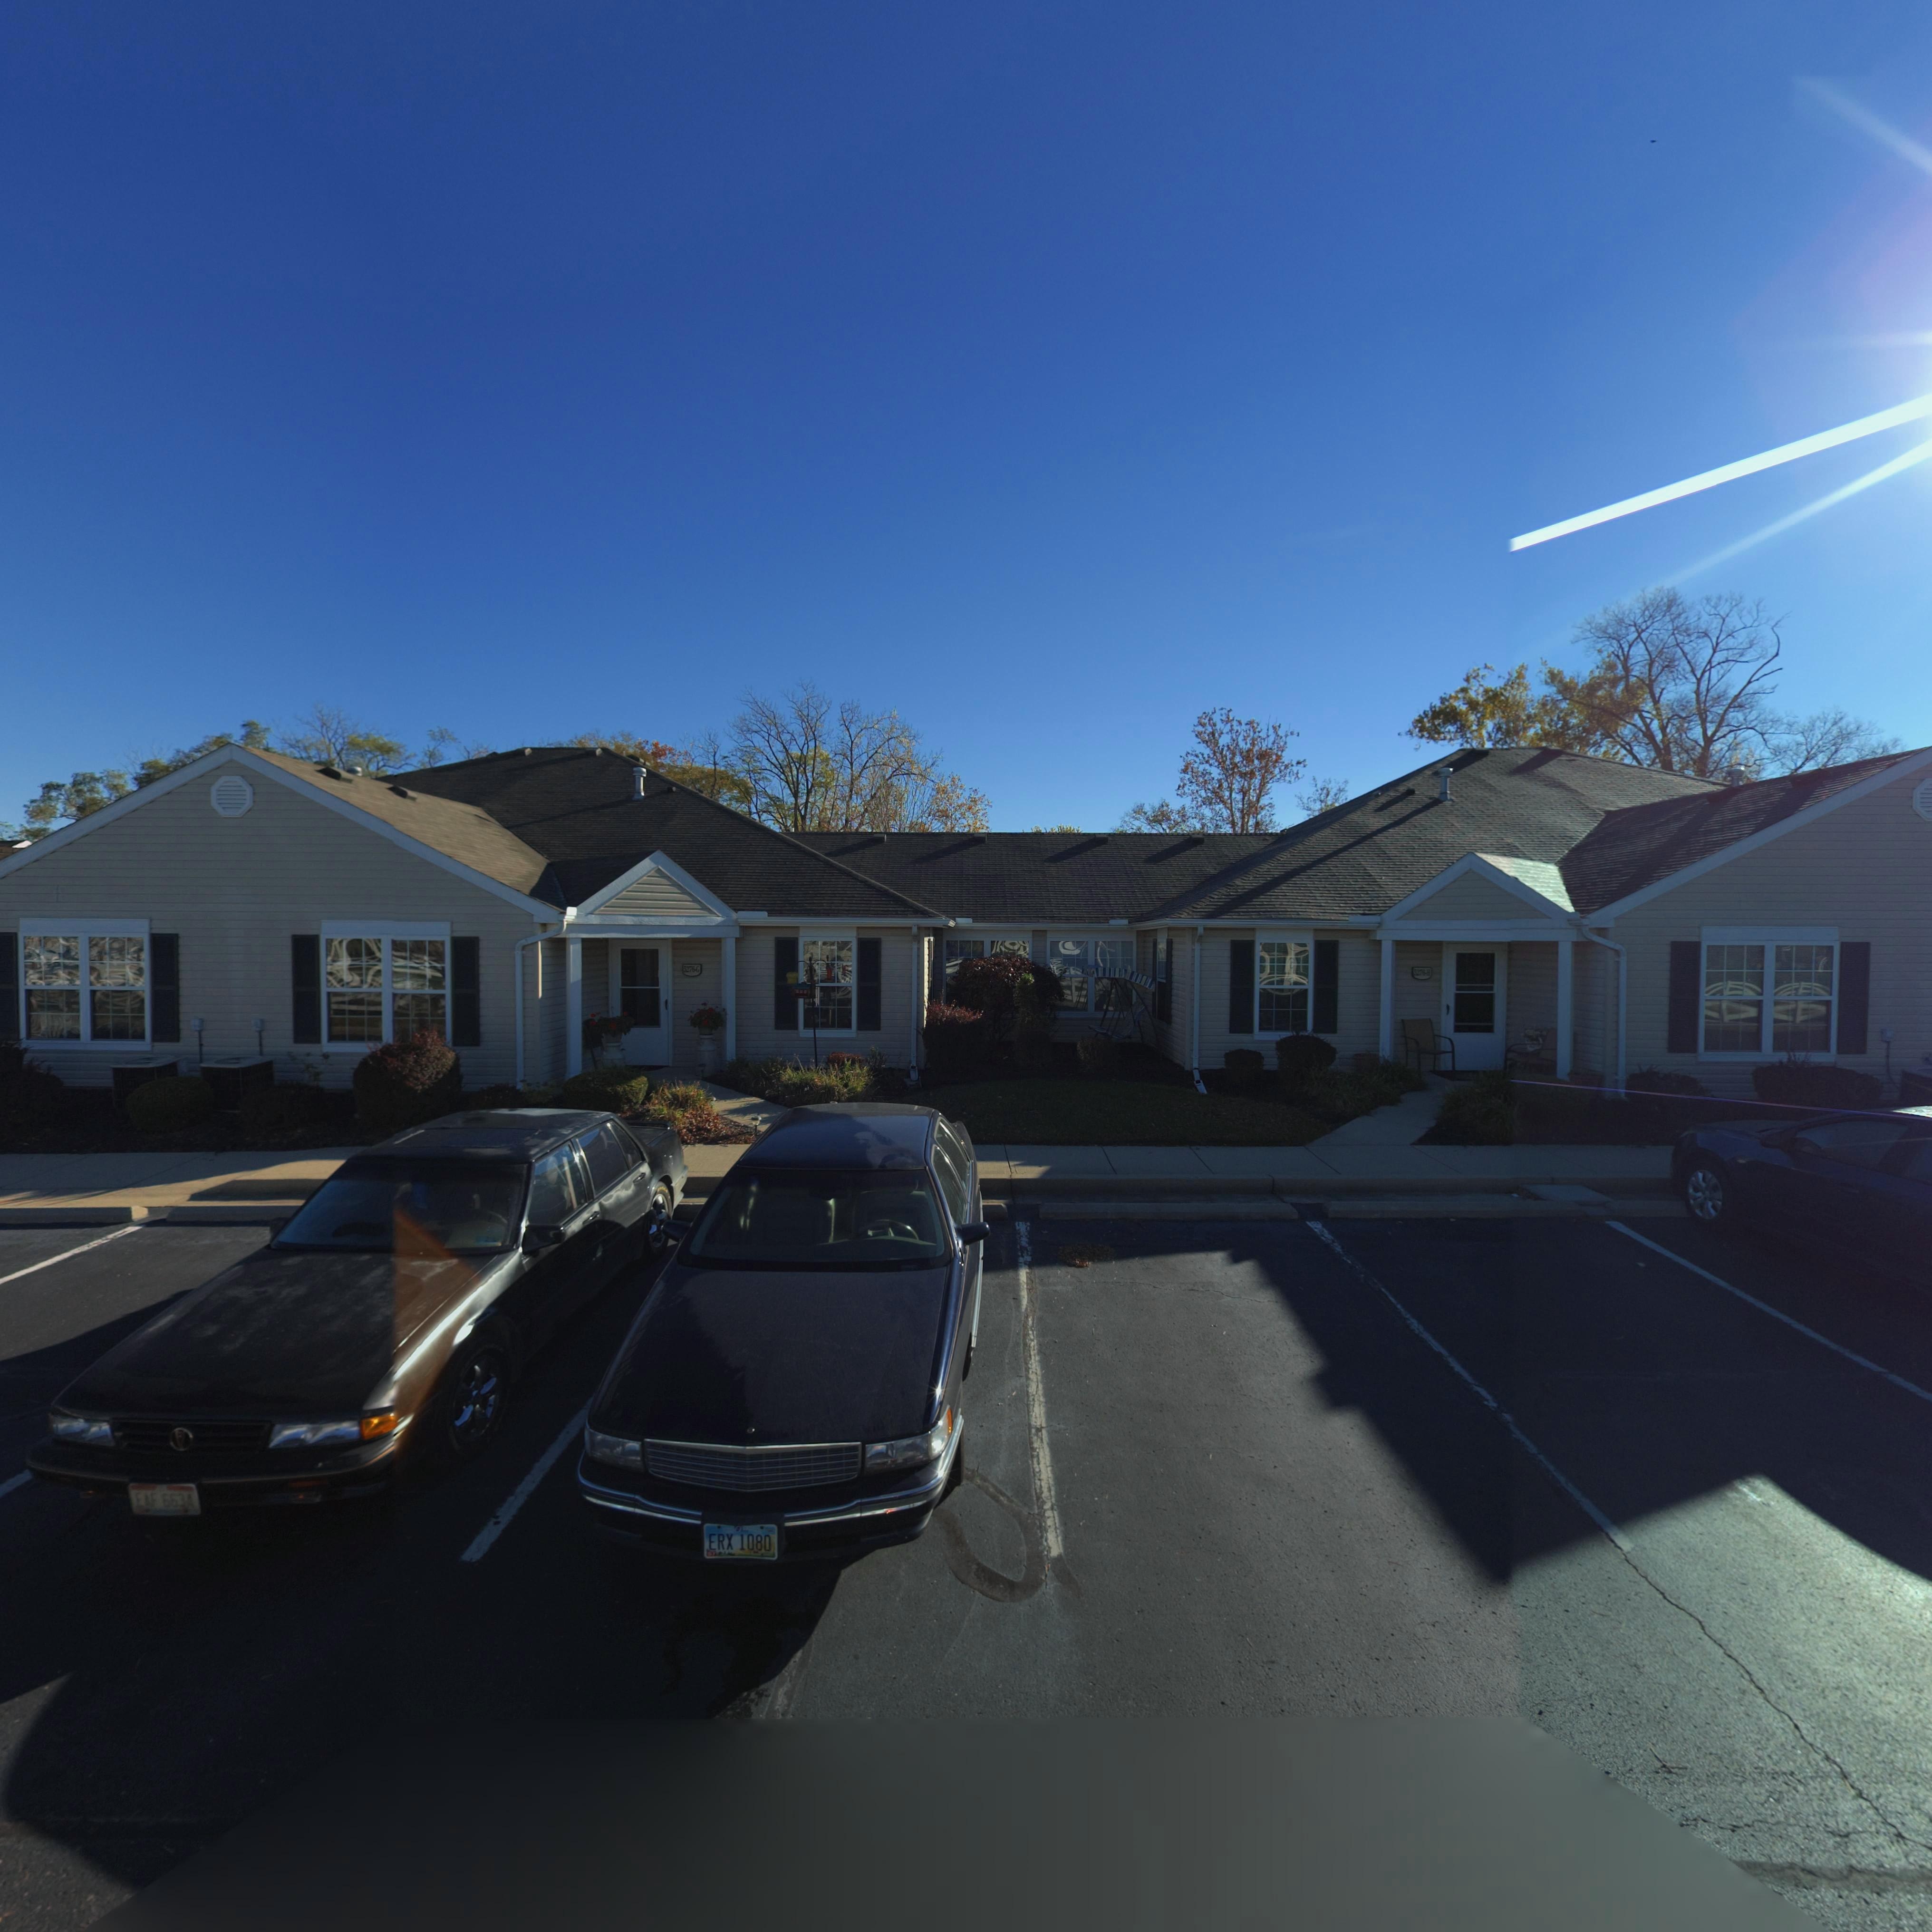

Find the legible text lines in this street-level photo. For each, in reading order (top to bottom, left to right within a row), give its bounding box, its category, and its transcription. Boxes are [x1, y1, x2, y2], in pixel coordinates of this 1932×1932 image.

[682, 965, 700, 973] StreetNumber: 5276-G
[1413, 968, 1430, 976] StreetNumber: 5276-H